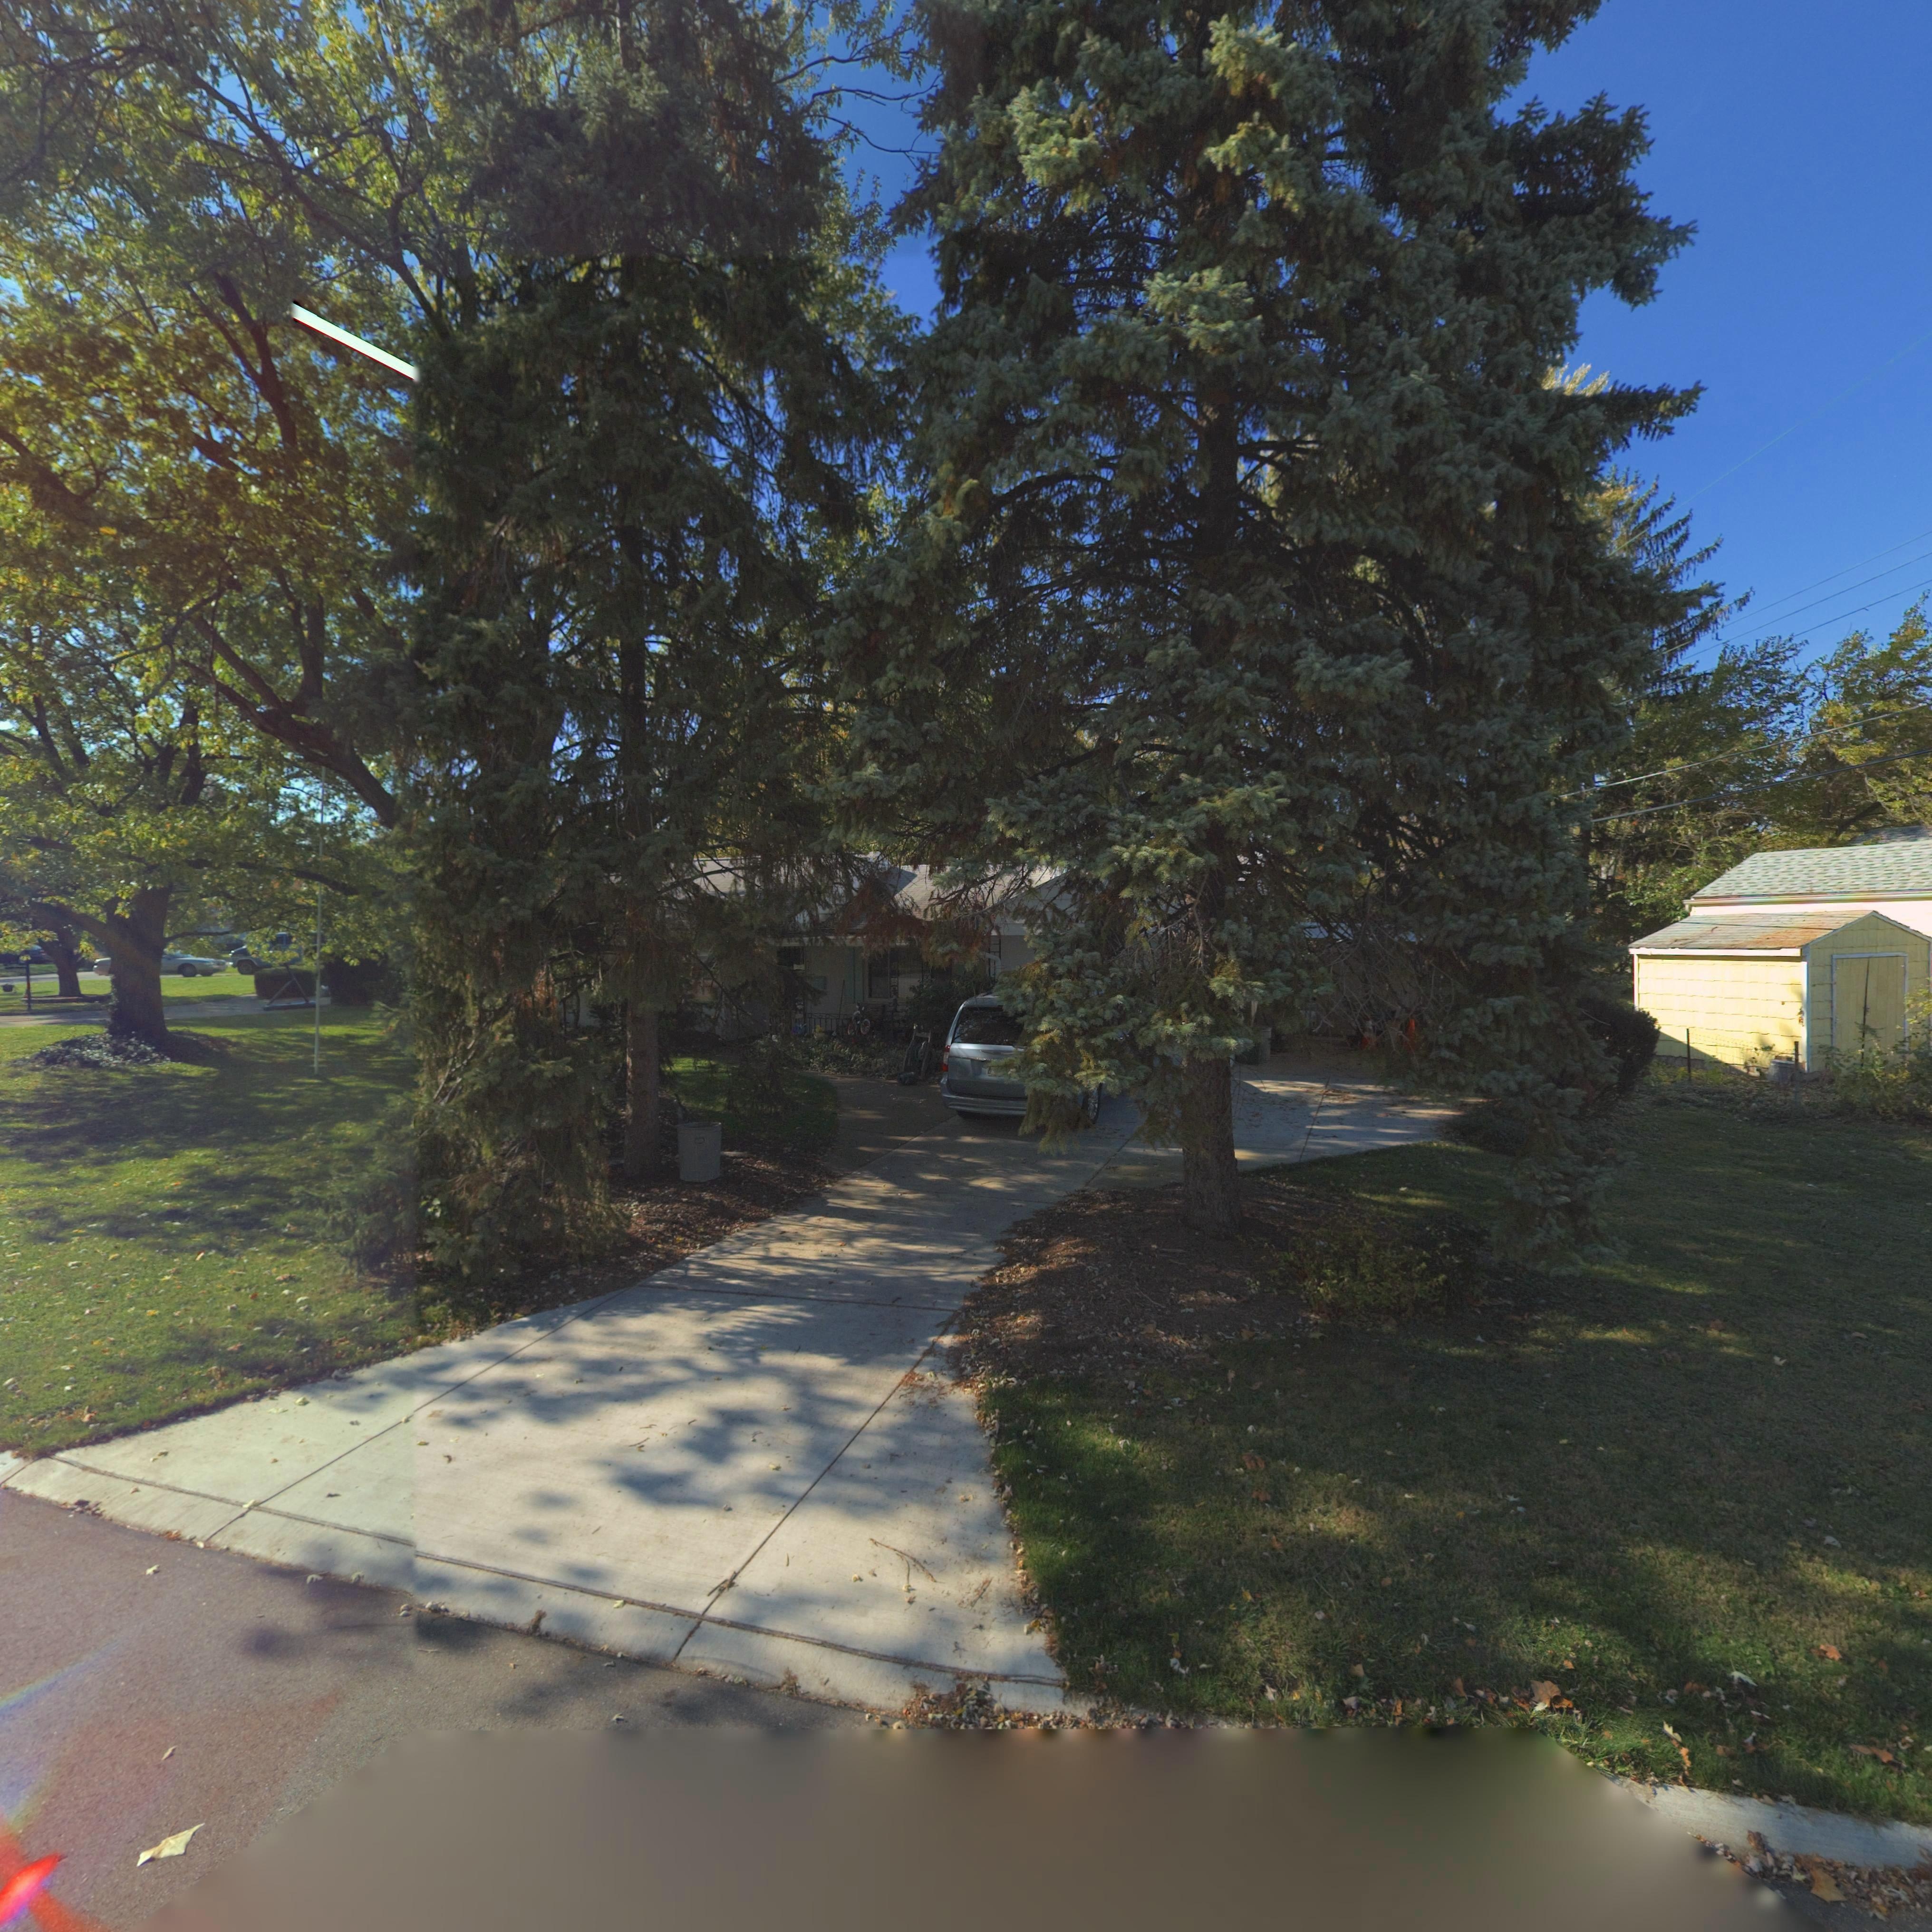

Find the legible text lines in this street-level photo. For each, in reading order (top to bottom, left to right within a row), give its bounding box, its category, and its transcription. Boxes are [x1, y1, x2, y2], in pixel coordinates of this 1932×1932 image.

[807, 964, 811, 973] StreetNumber: 10